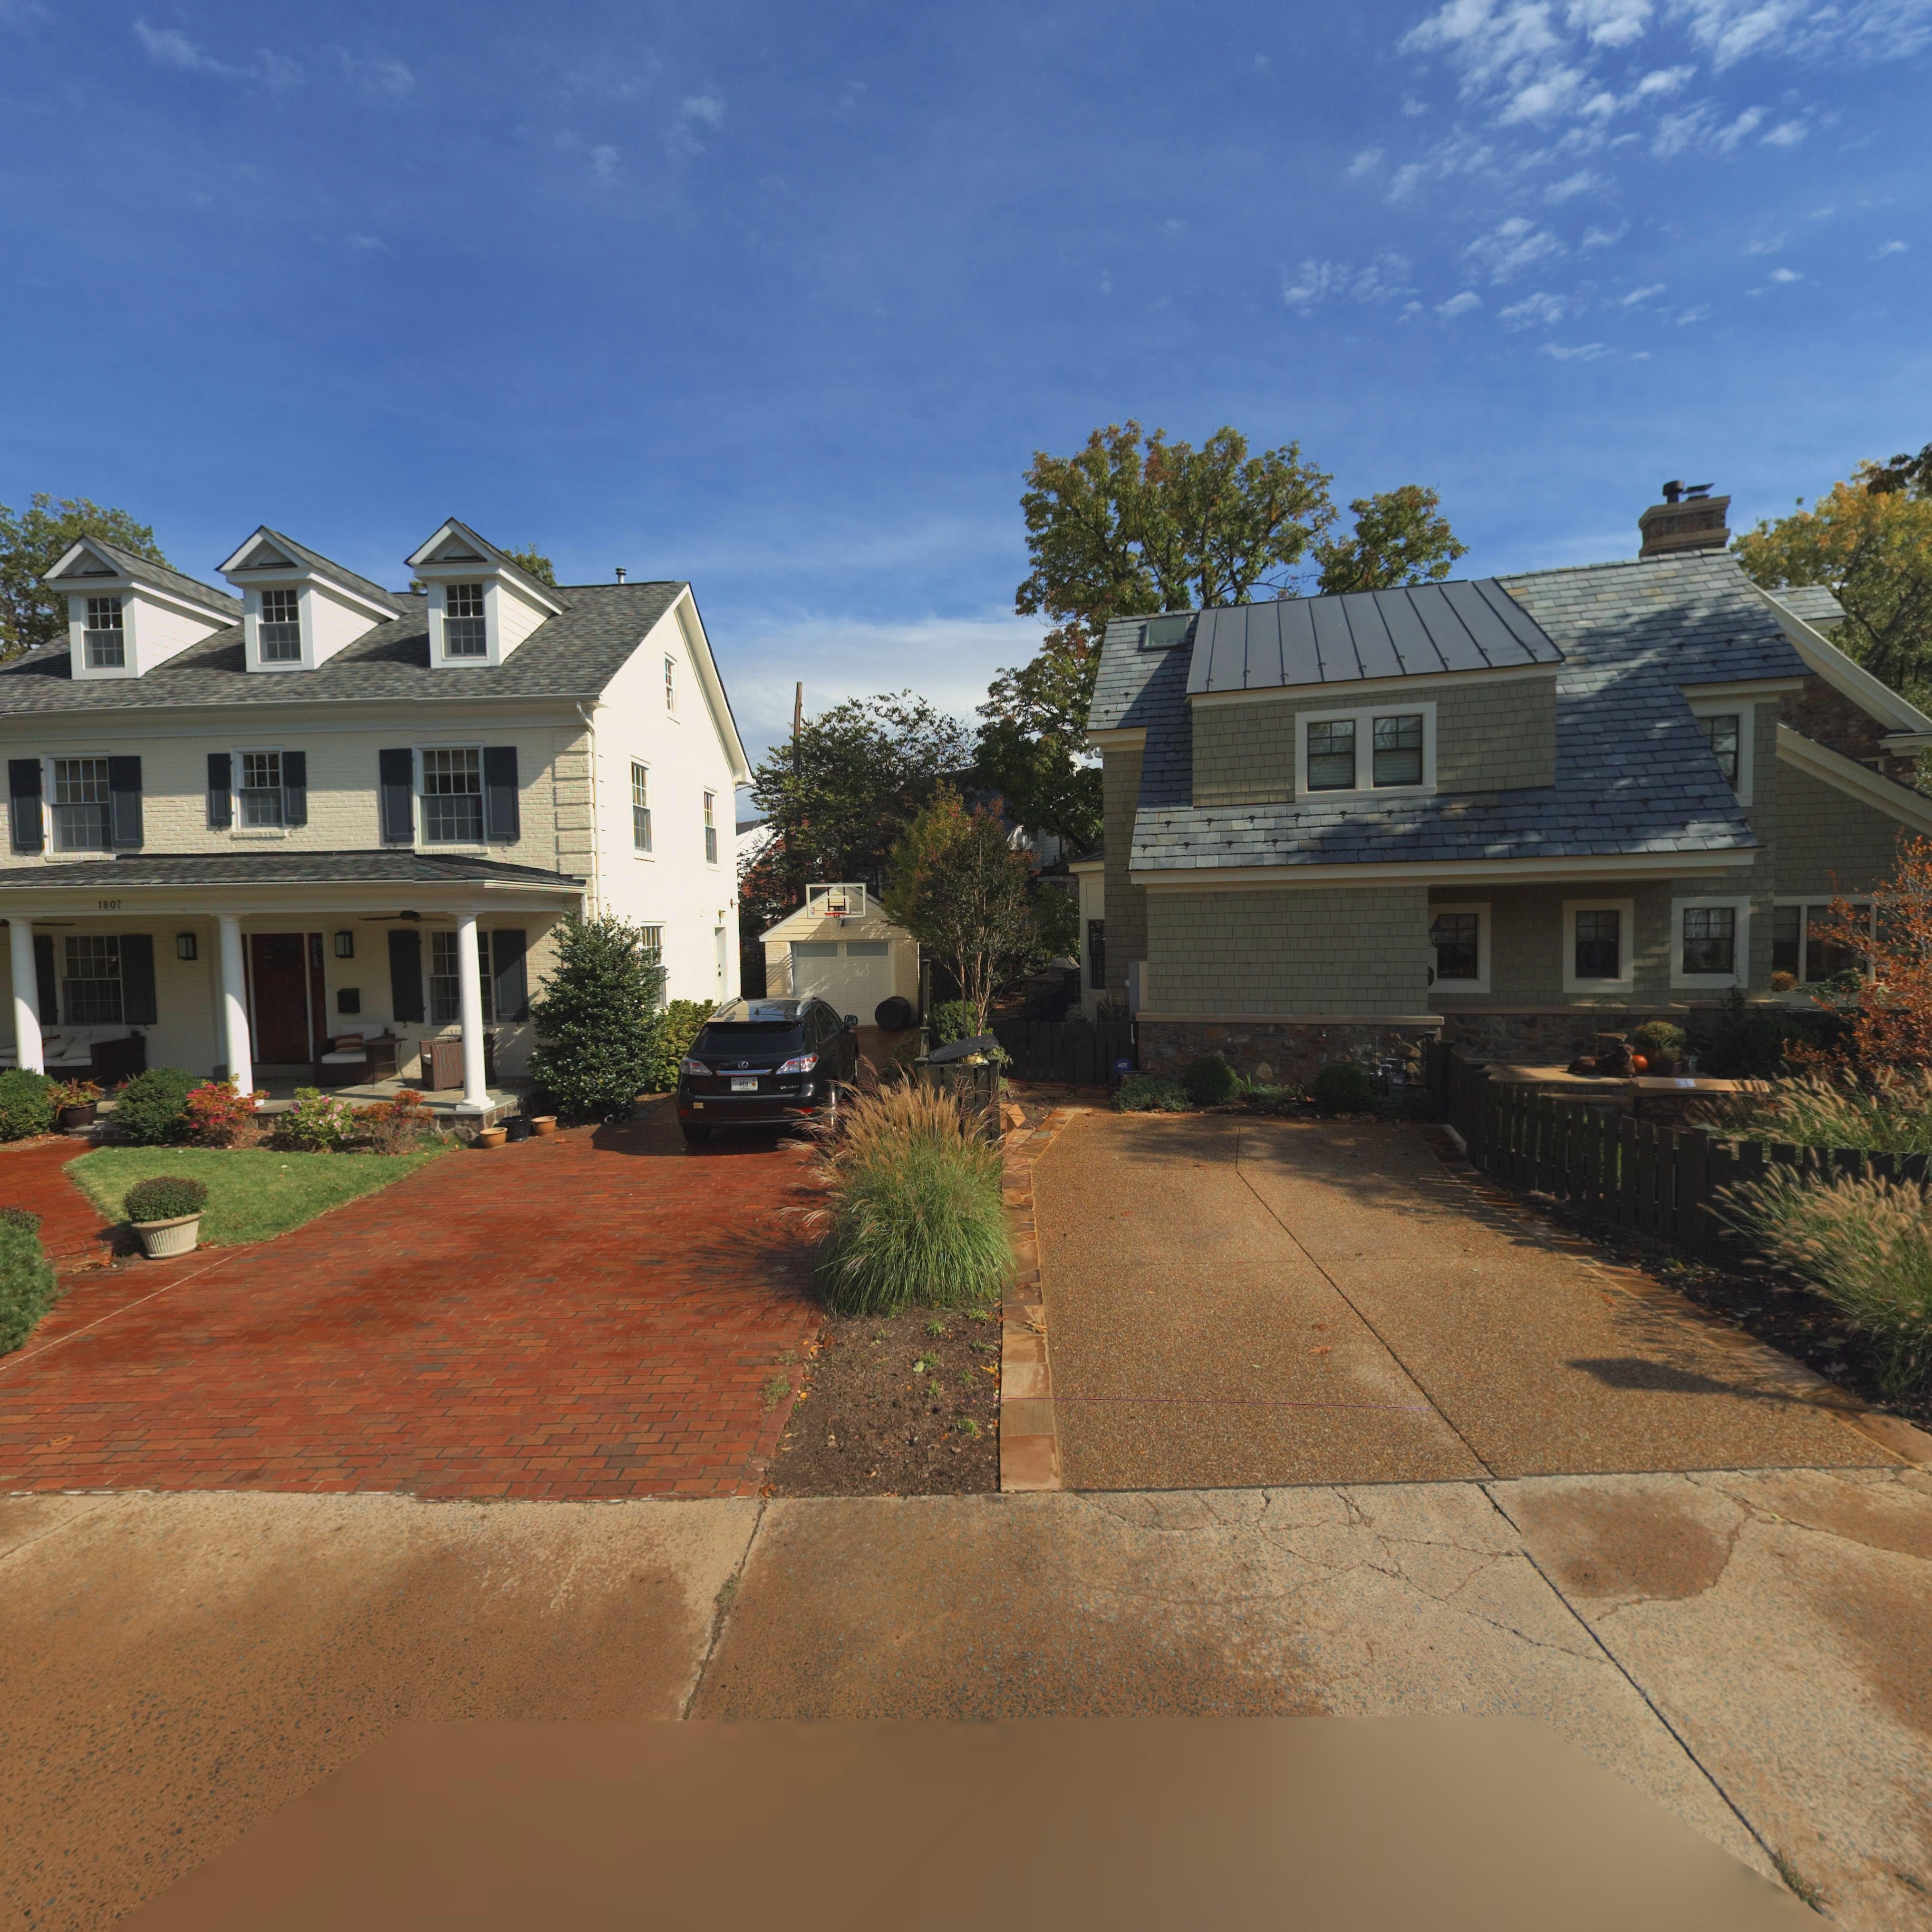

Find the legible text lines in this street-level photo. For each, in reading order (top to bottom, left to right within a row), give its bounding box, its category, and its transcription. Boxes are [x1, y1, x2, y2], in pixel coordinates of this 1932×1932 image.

[97, 898, 123, 910] StreetNumber: 1807